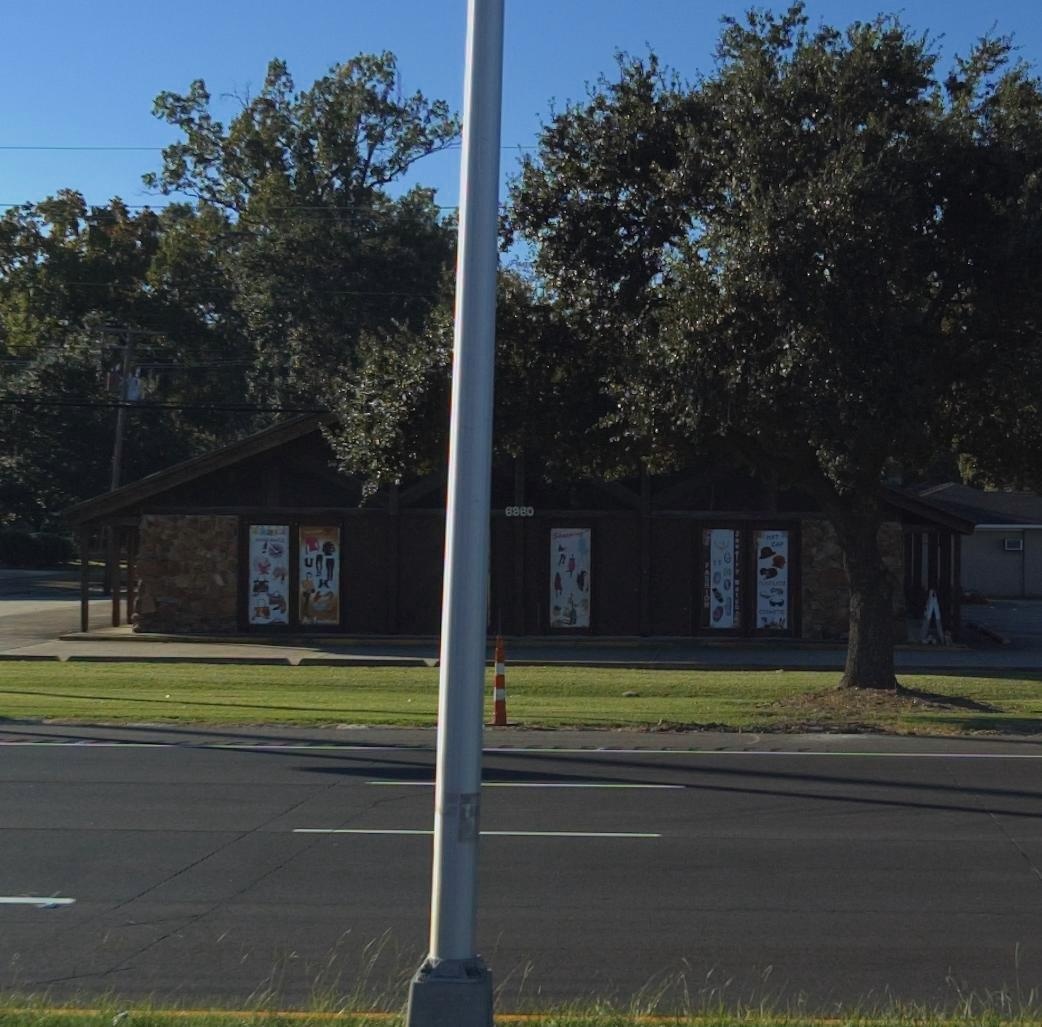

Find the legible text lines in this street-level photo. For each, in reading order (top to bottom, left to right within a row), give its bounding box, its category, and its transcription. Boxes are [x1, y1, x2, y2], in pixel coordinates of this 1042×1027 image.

[503, 504, 536, 519] StreetNumber: ***0